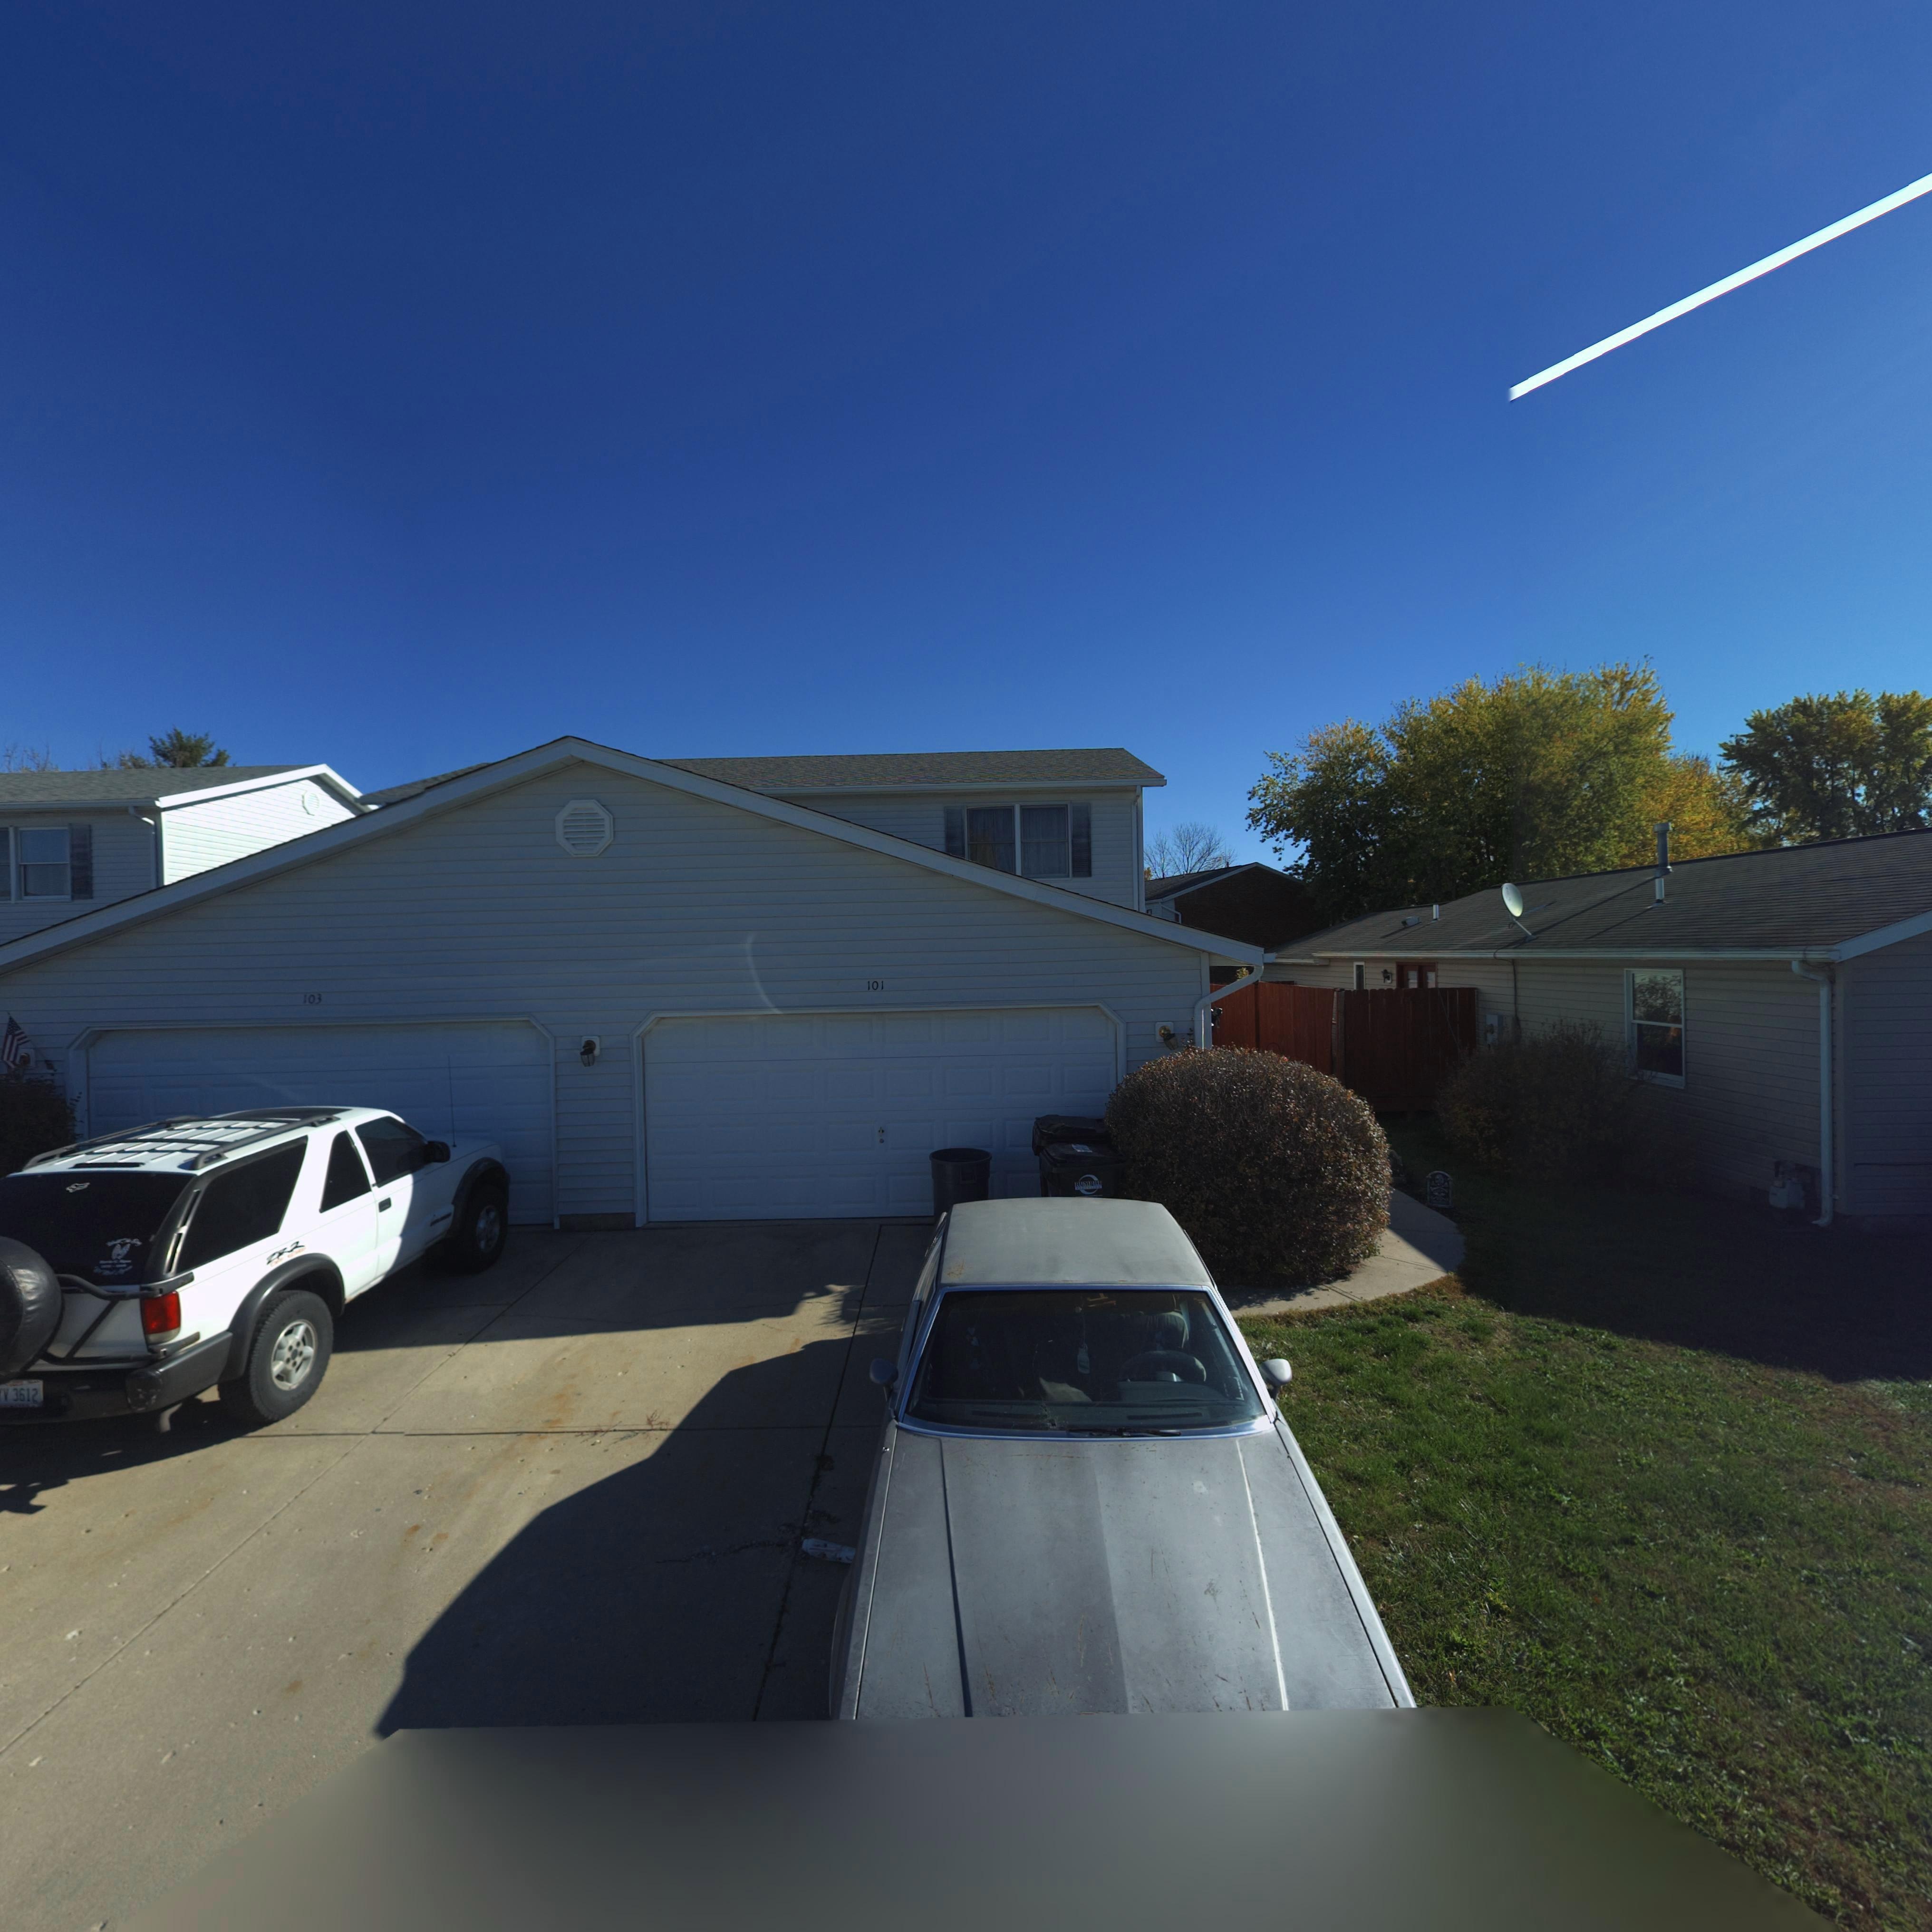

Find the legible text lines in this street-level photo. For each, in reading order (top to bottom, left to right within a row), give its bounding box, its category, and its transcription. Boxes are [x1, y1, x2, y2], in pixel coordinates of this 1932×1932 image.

[866, 979, 884, 991] StreetNumber: 101
[301, 993, 322, 1004] StreetNumber: 103